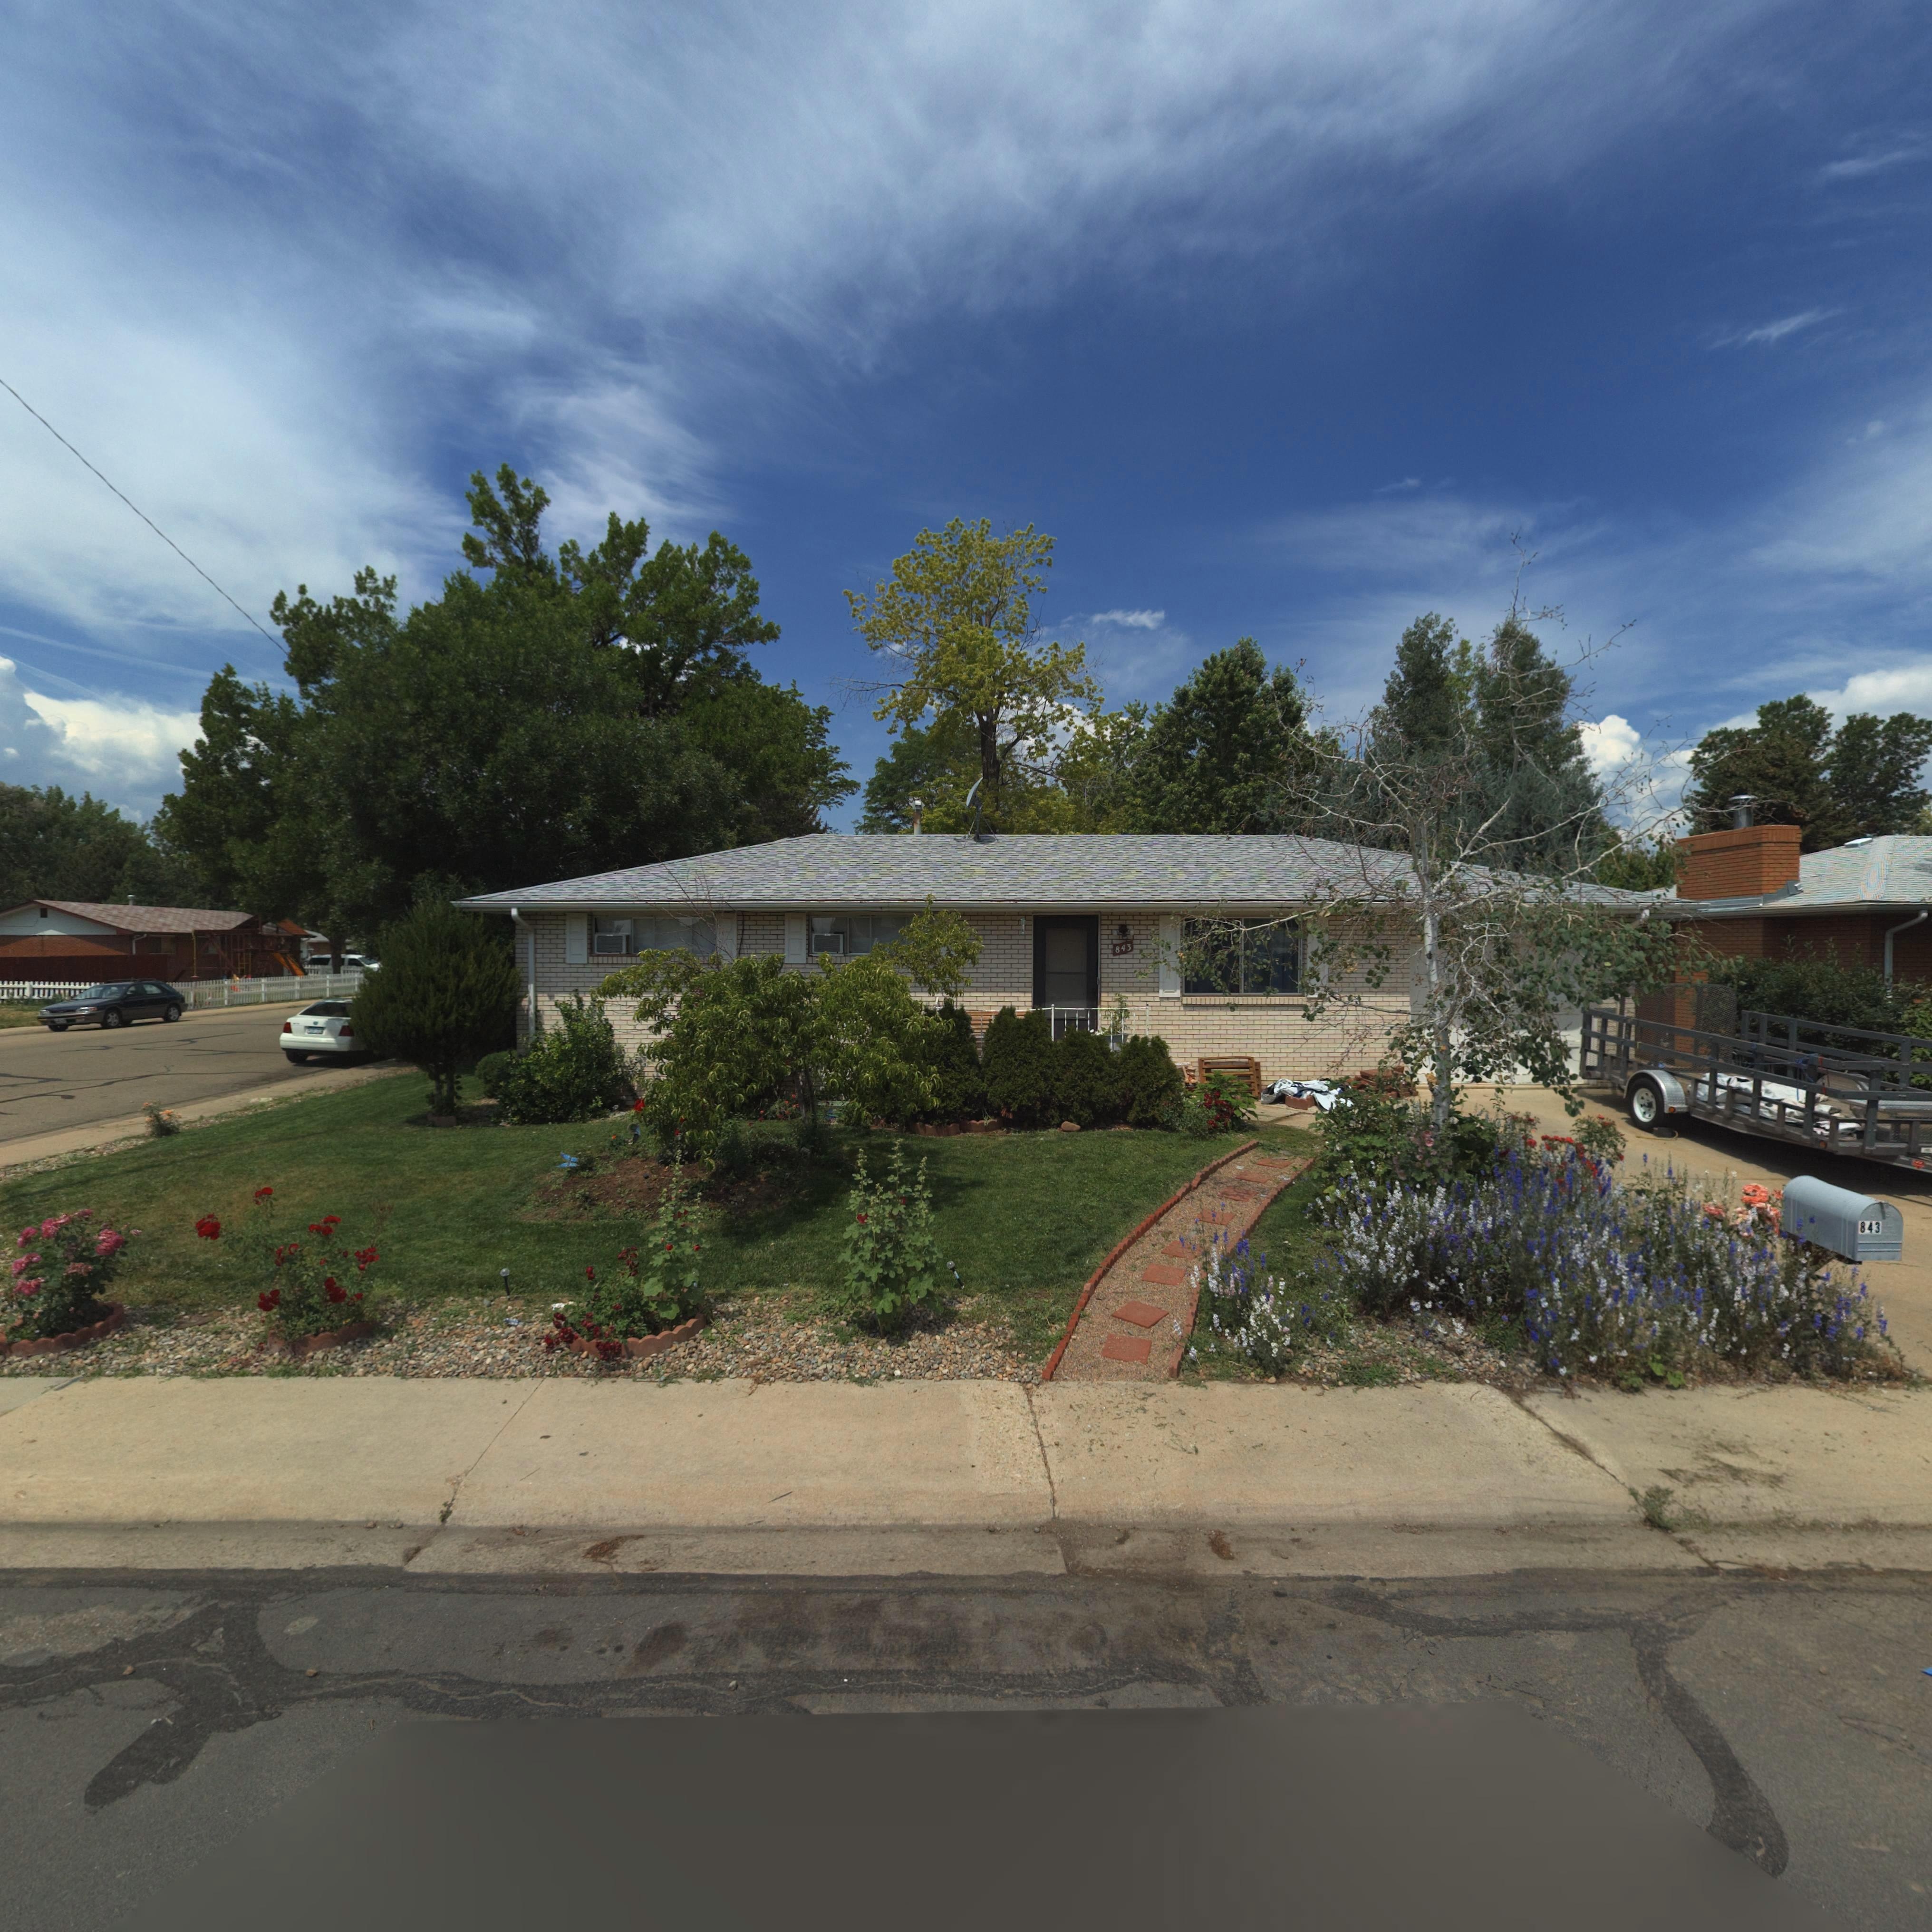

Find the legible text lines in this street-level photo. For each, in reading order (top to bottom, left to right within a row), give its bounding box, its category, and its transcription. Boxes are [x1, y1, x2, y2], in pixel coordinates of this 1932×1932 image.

[1115, 944, 1131, 953] StreetNumber: 843
[1860, 1222, 1880, 1233] StreetNumber: 843